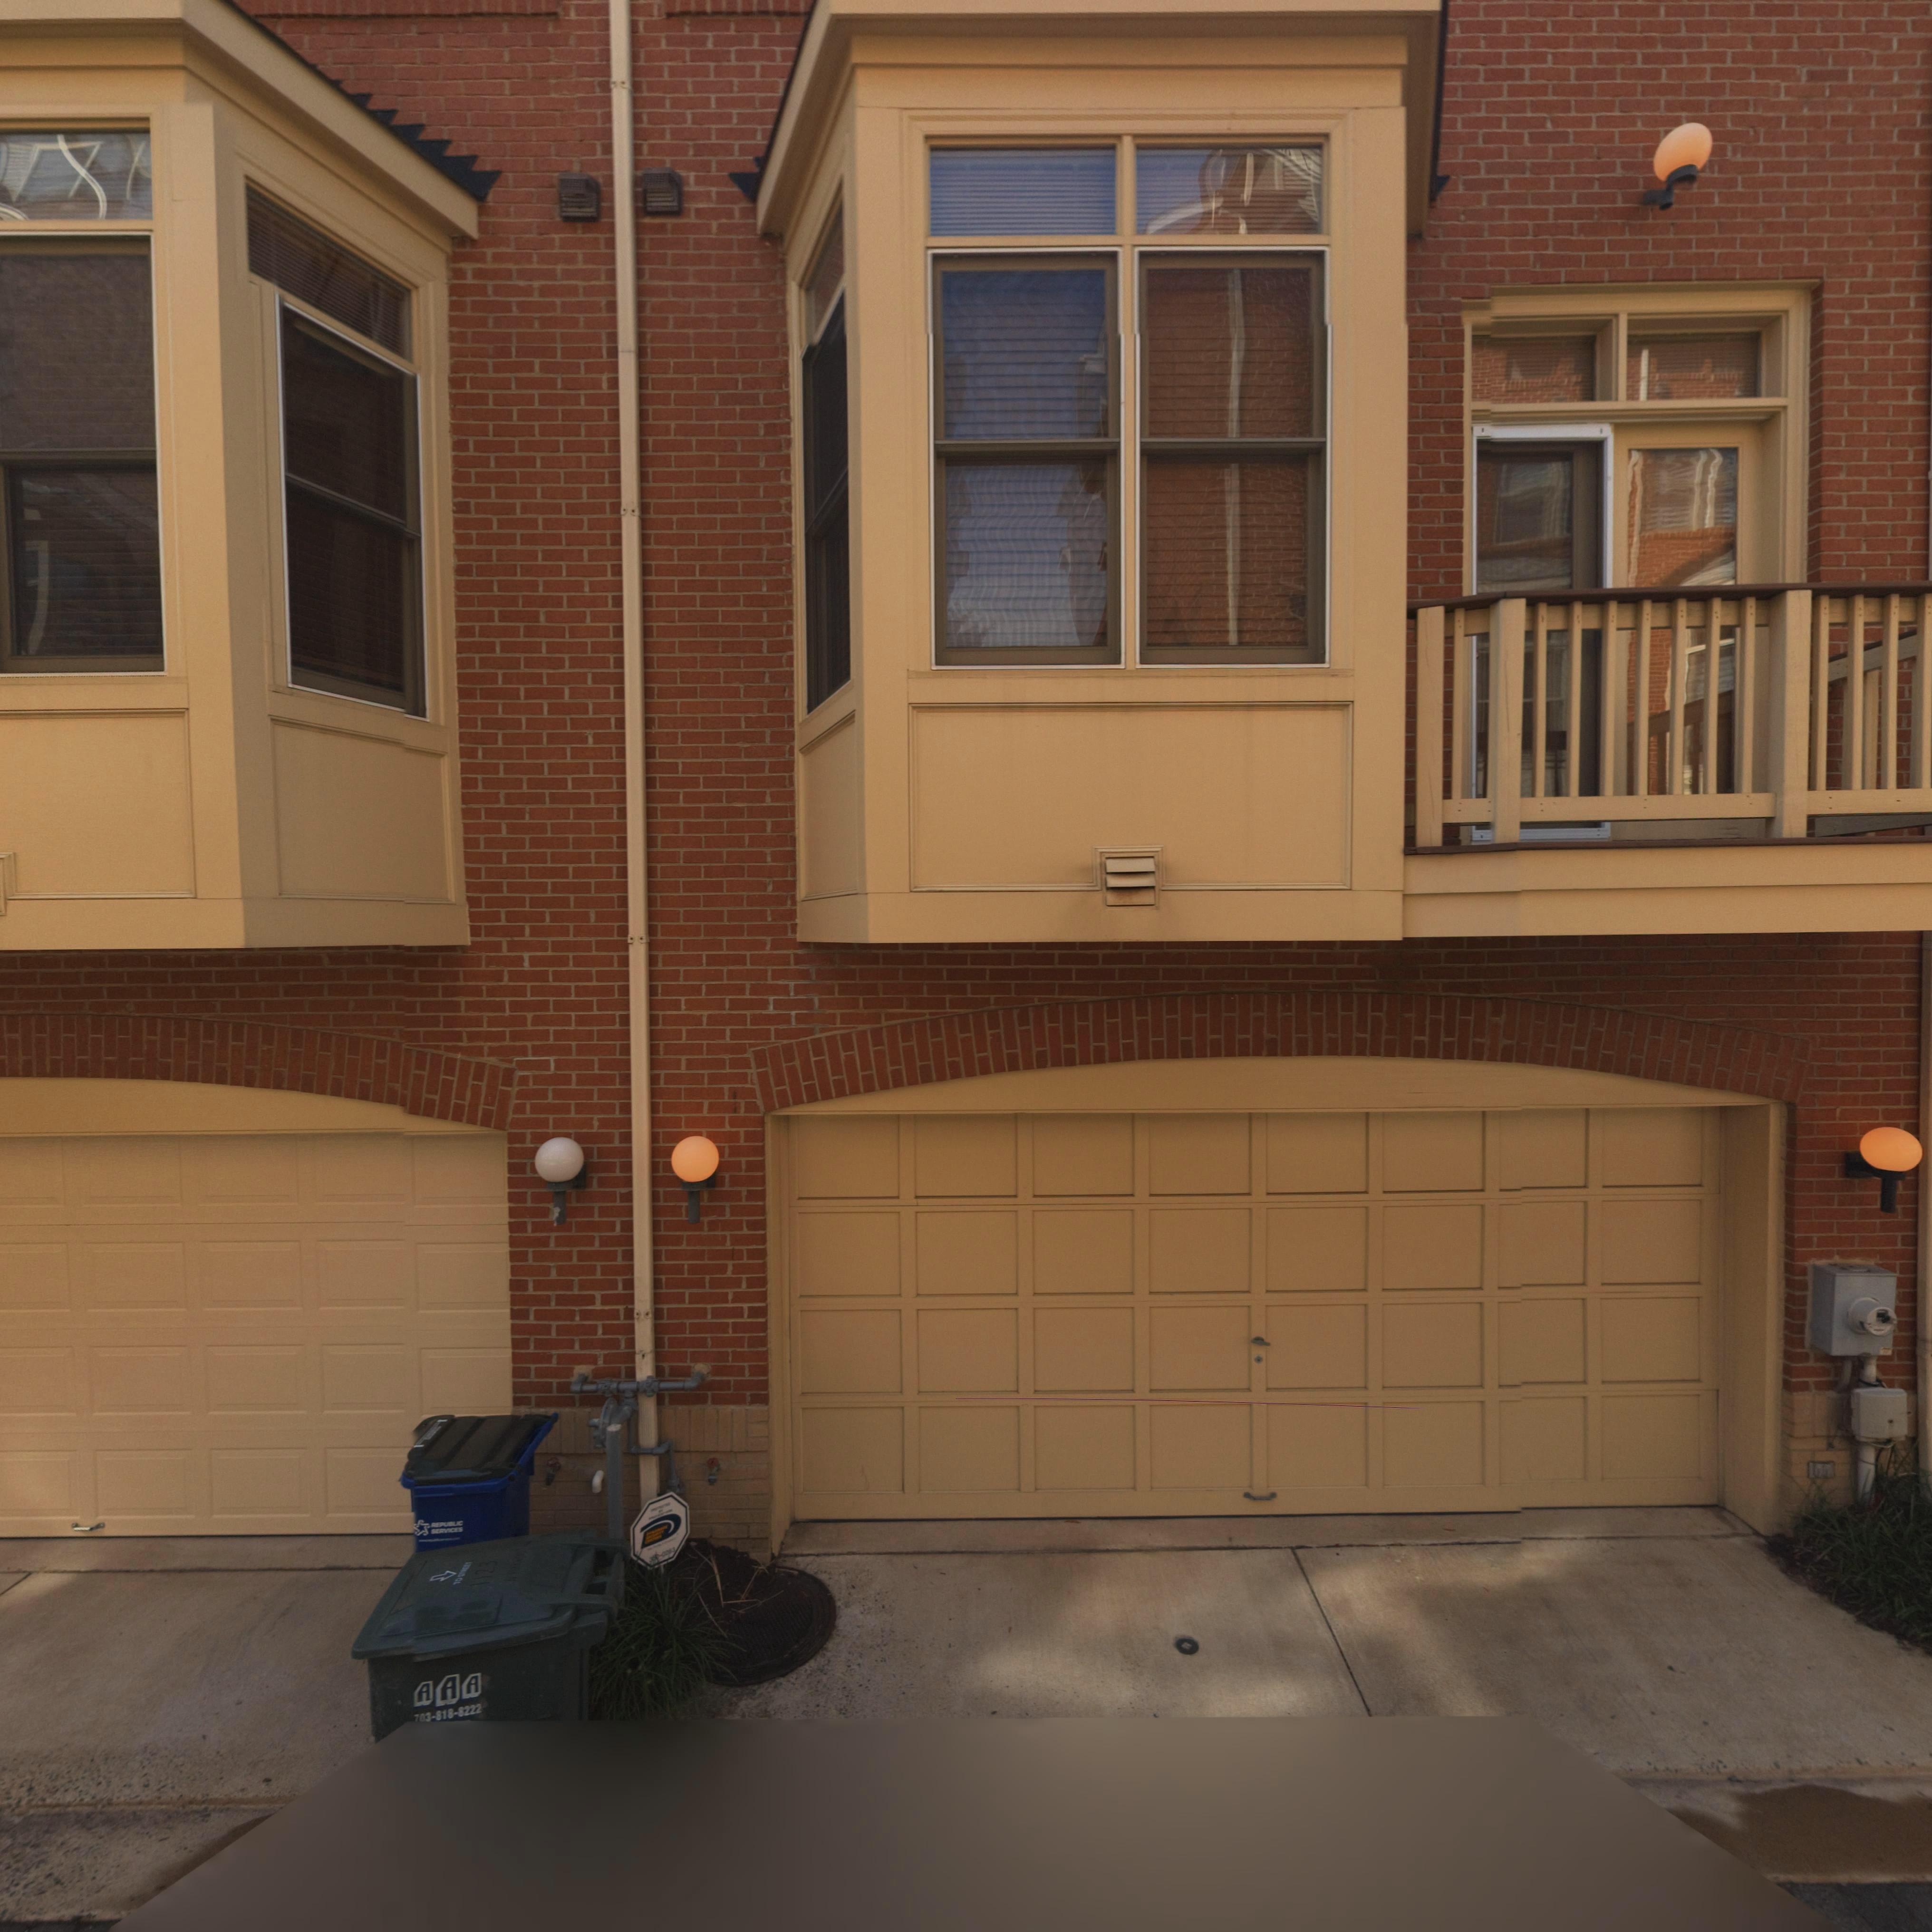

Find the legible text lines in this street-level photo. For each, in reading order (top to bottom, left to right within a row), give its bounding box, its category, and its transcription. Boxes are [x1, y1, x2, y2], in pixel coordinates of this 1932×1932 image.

[431, 1526, 463, 1535] None: SERVICES
[431, 1520, 464, 1528] None: REPUBLIC
[451, 1561, 473, 1586] None: TO *****T
[469, 1560, 498, 1586] StreetNumber: 1123
[416, 1675, 479, 1703] None: AAA
[414, 1702, 482, 1725] None: 703-818-8222